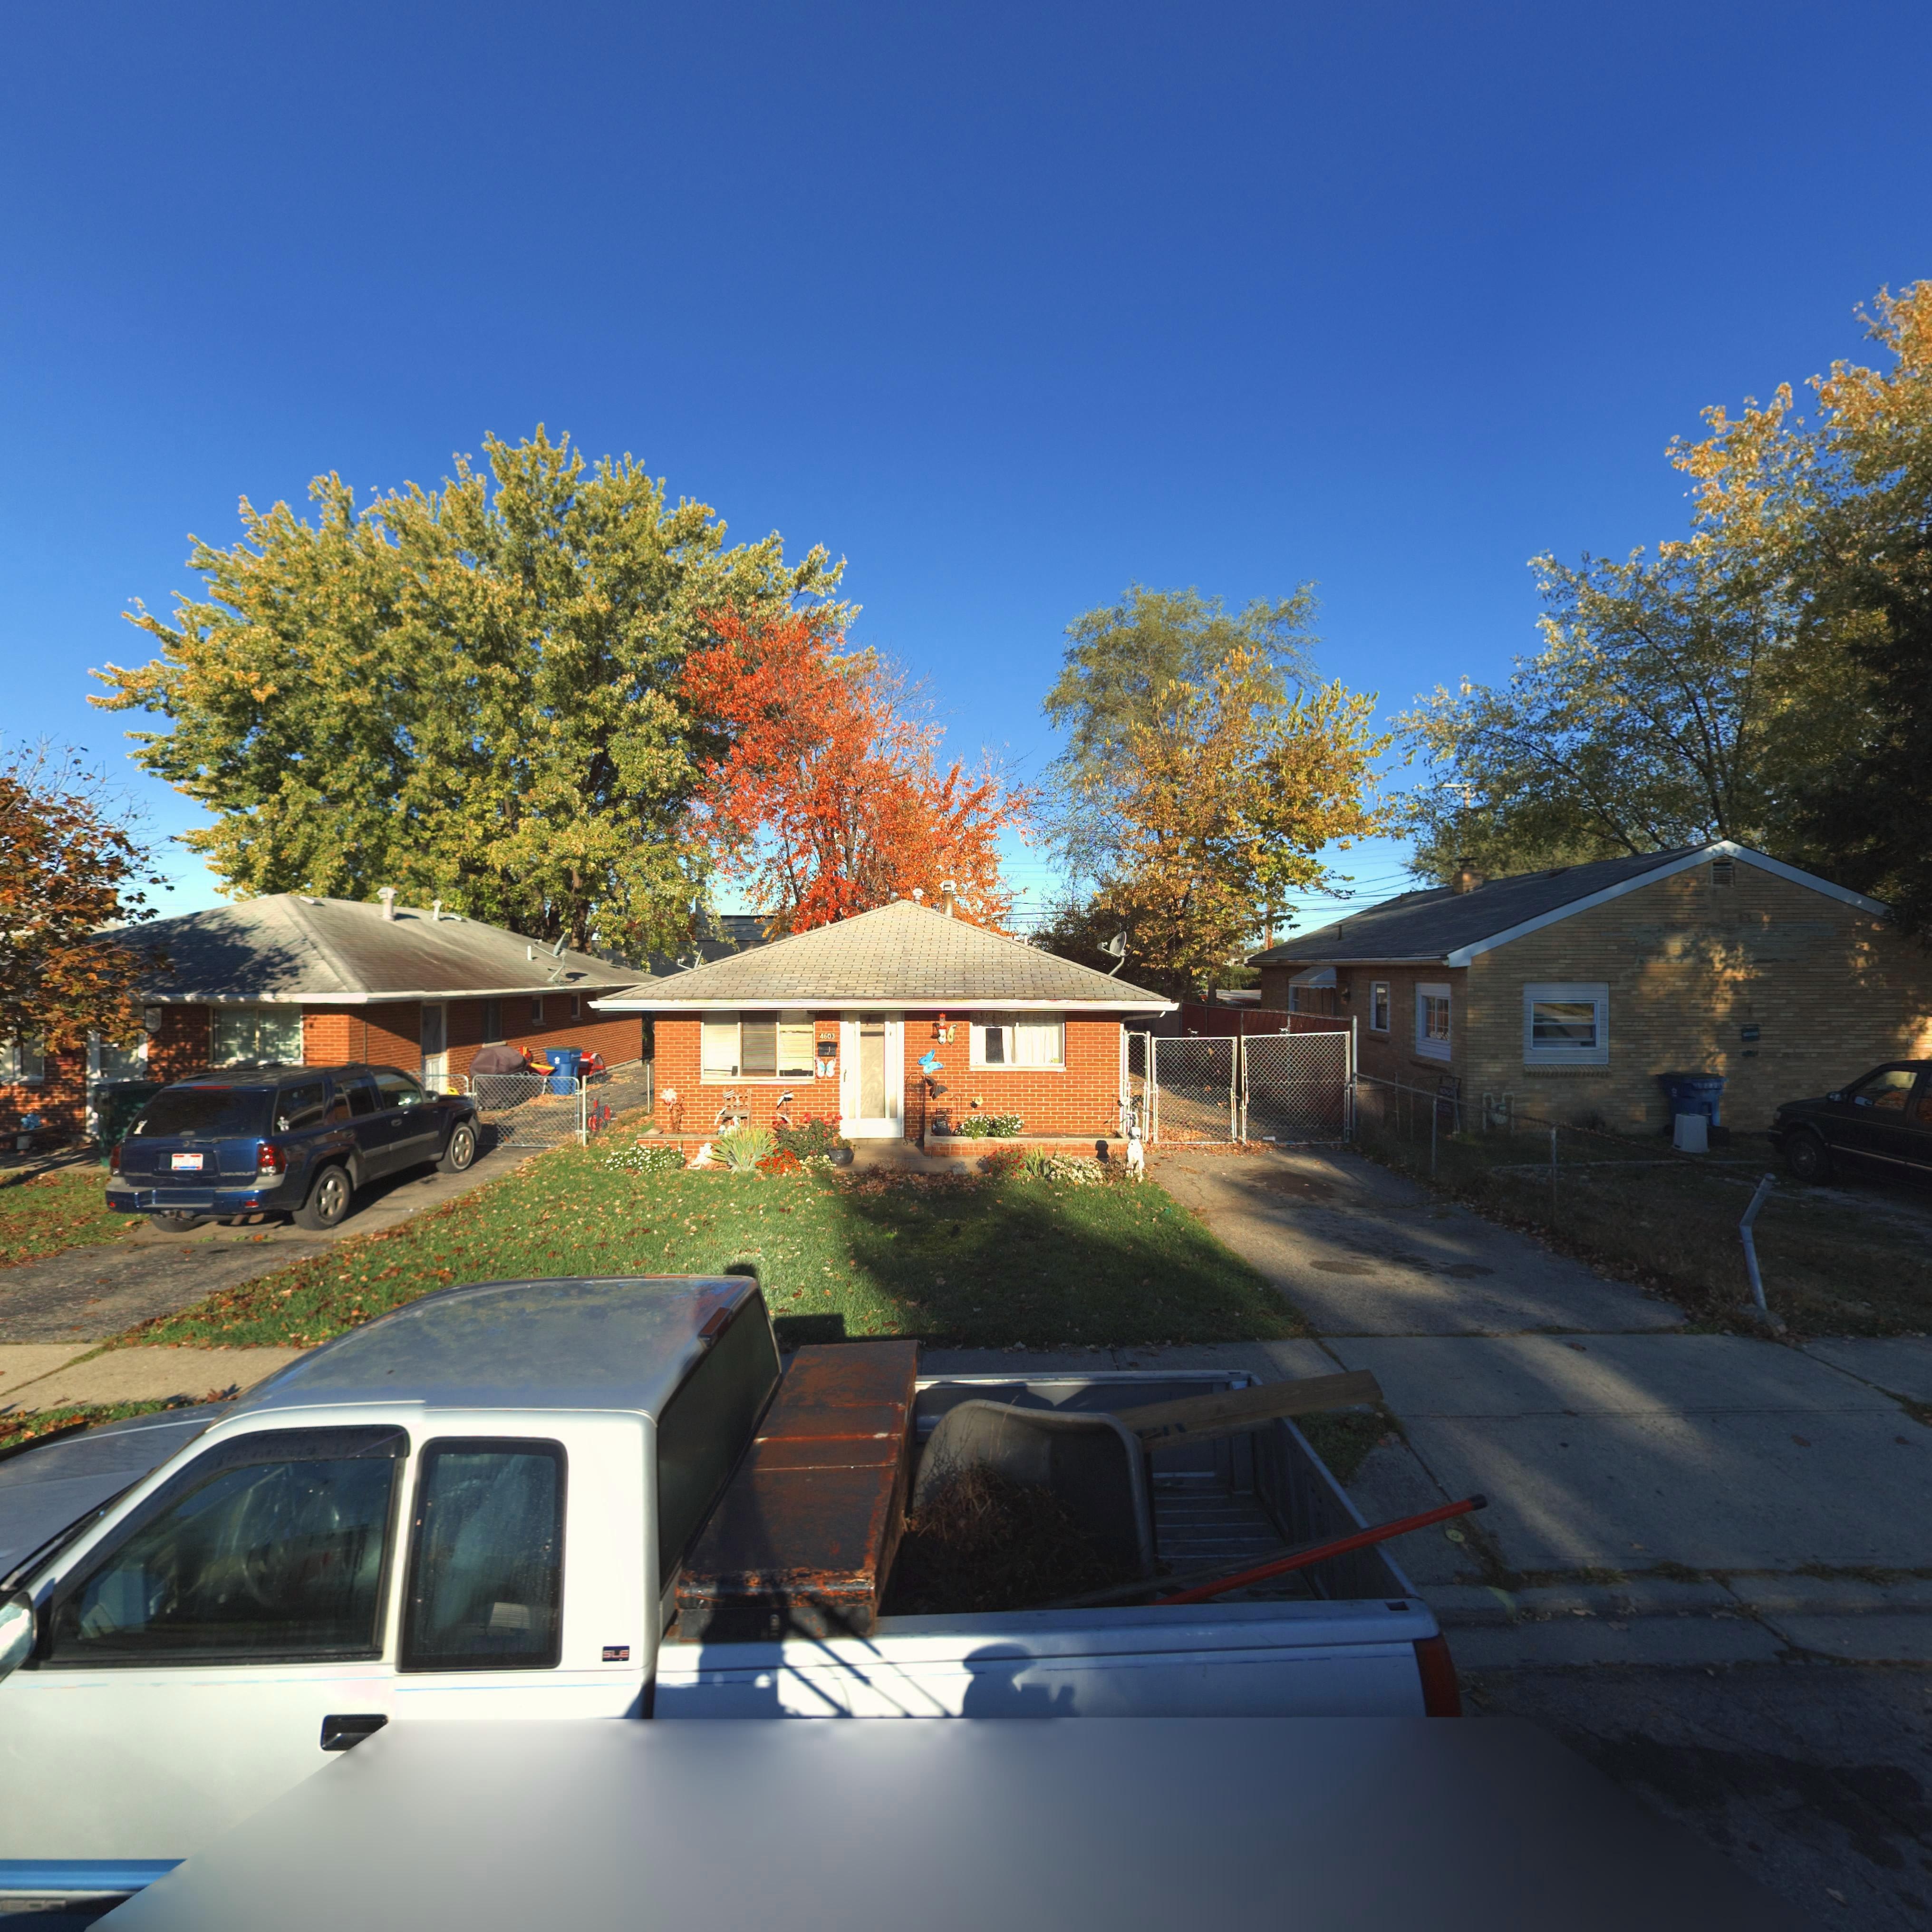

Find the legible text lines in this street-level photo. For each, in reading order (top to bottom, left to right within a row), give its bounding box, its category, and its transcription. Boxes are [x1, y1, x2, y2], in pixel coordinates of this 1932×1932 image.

[819, 1033, 835, 1040] StreetNumber: 4603